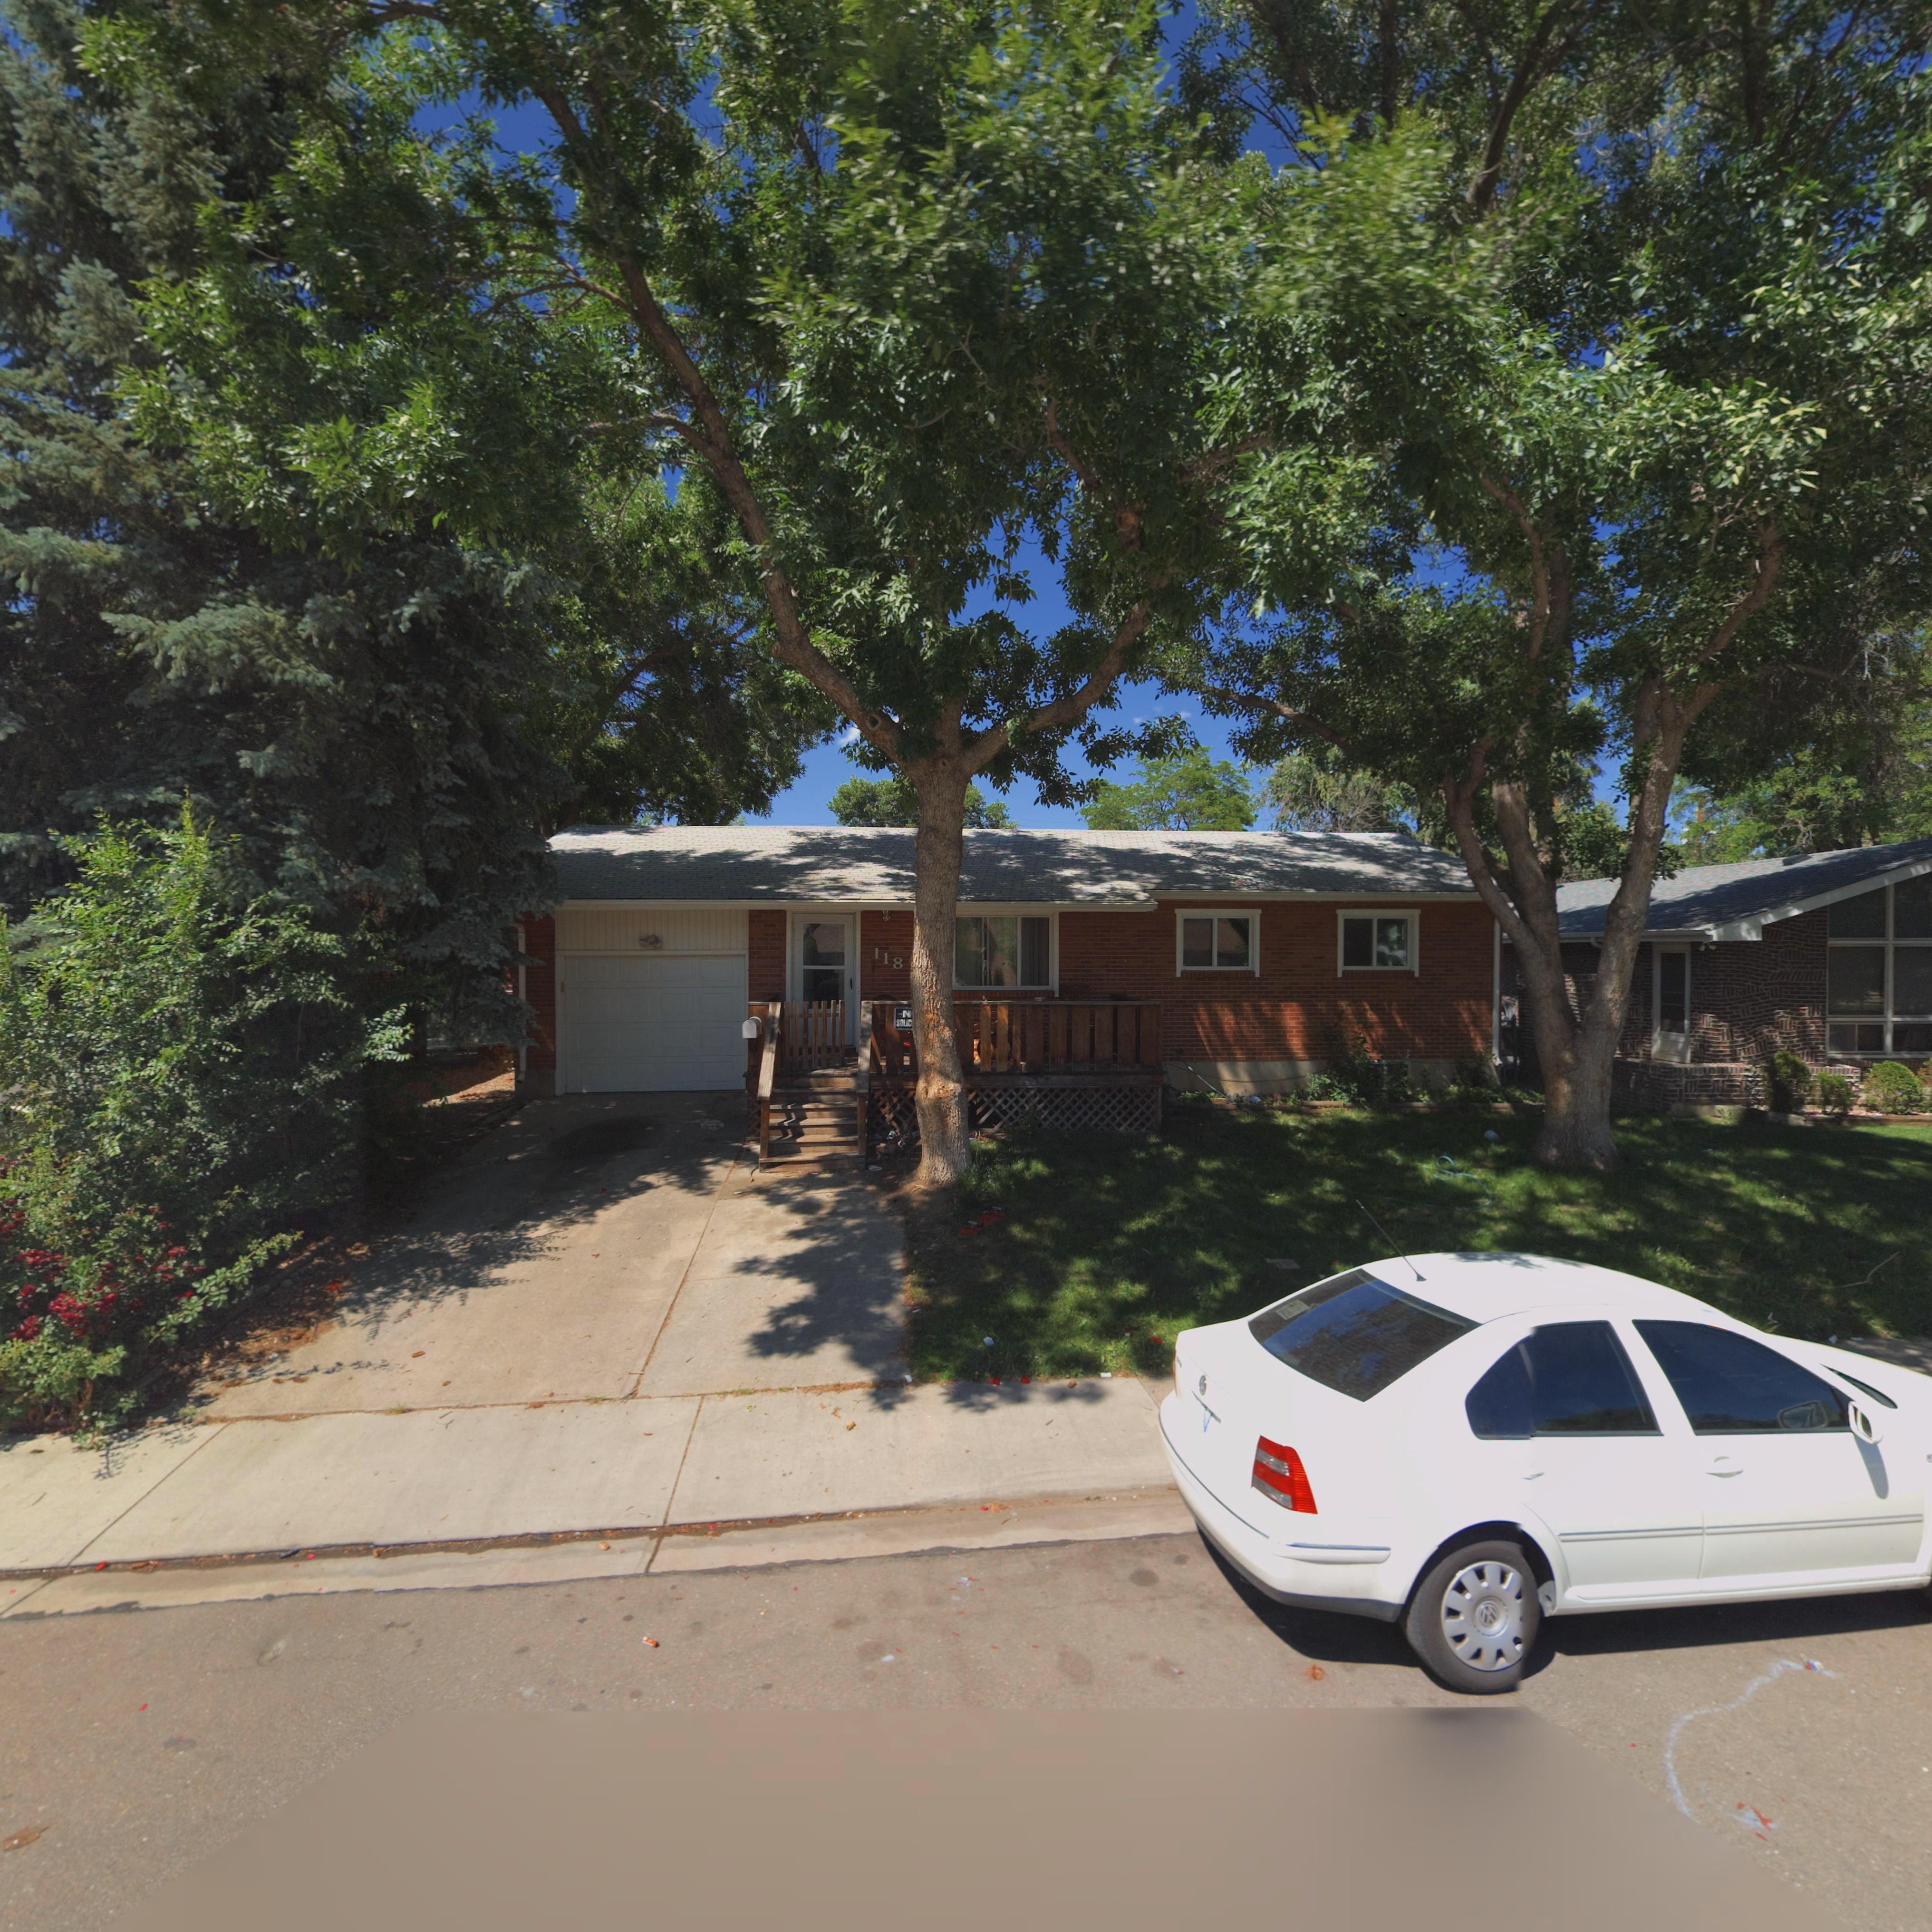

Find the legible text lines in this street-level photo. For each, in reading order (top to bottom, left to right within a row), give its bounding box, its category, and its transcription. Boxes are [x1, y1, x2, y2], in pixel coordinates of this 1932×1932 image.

[873, 946, 903, 970] StreetNumber: 118